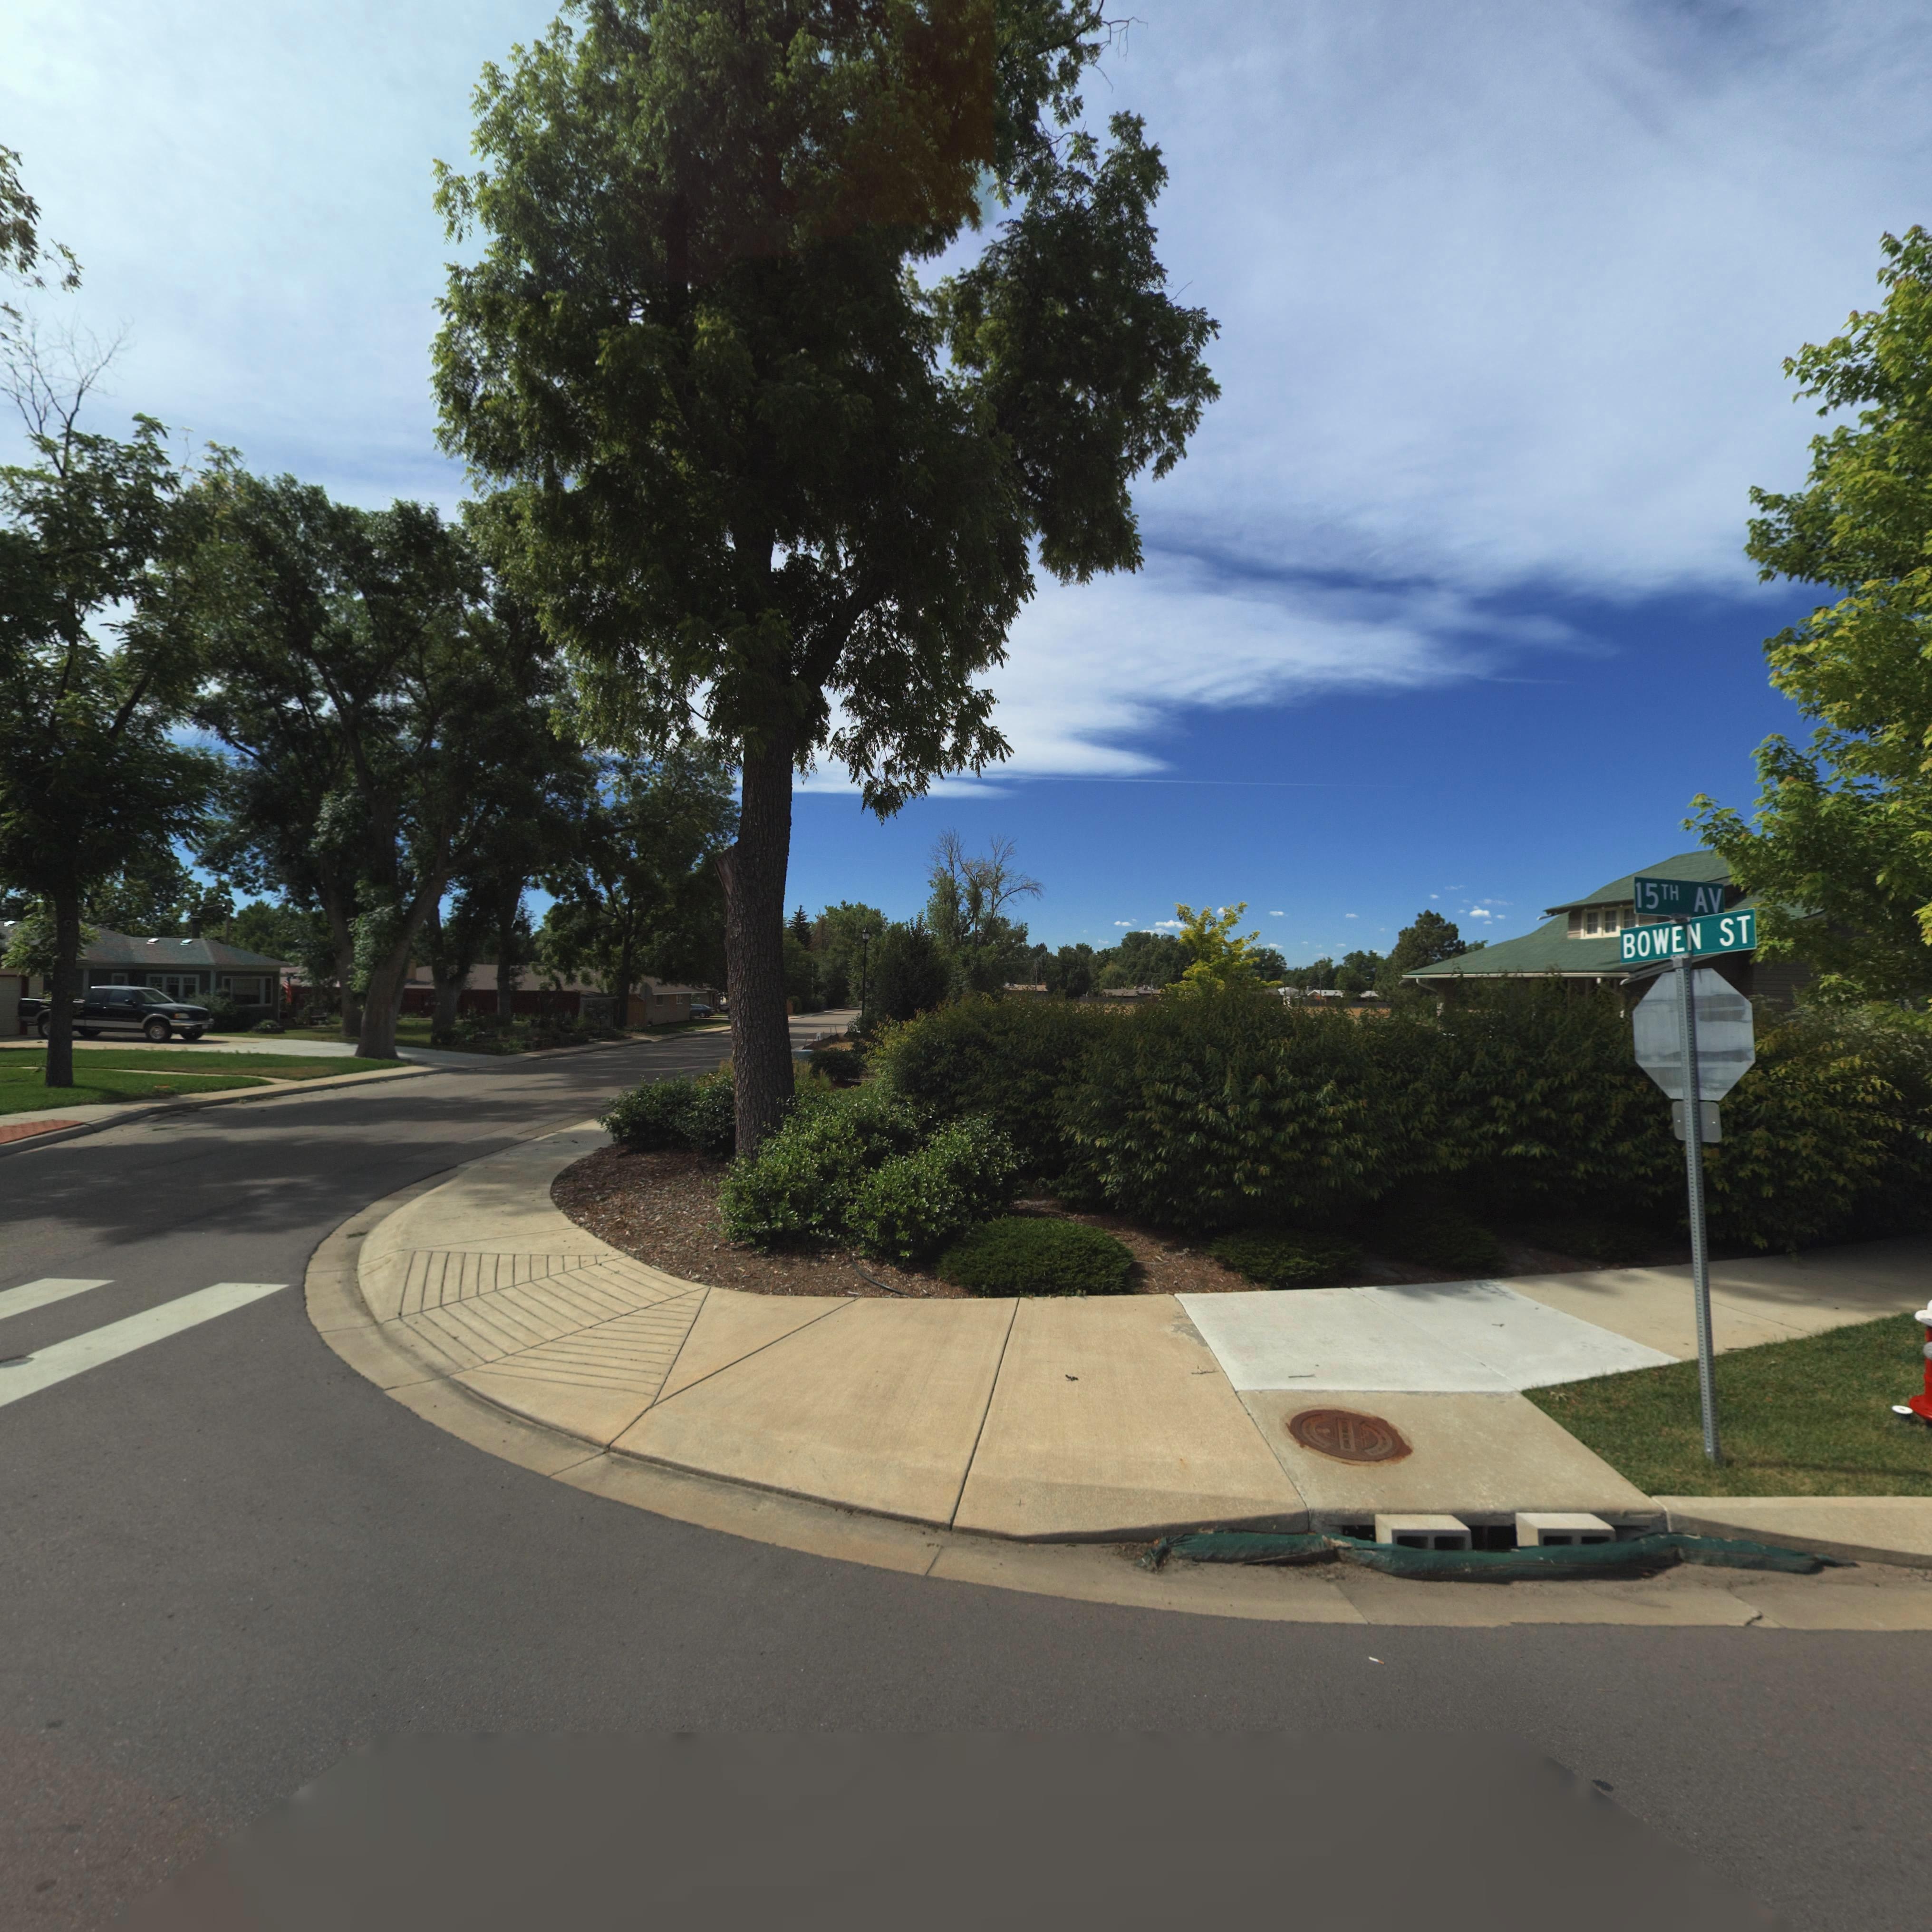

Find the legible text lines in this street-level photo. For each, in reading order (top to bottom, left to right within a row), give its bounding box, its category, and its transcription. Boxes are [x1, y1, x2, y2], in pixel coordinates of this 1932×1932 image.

[1633, 880, 1723, 915] StreetName: 15TH AV
[1621, 914, 1752, 960] StreetName: BOWEN ST